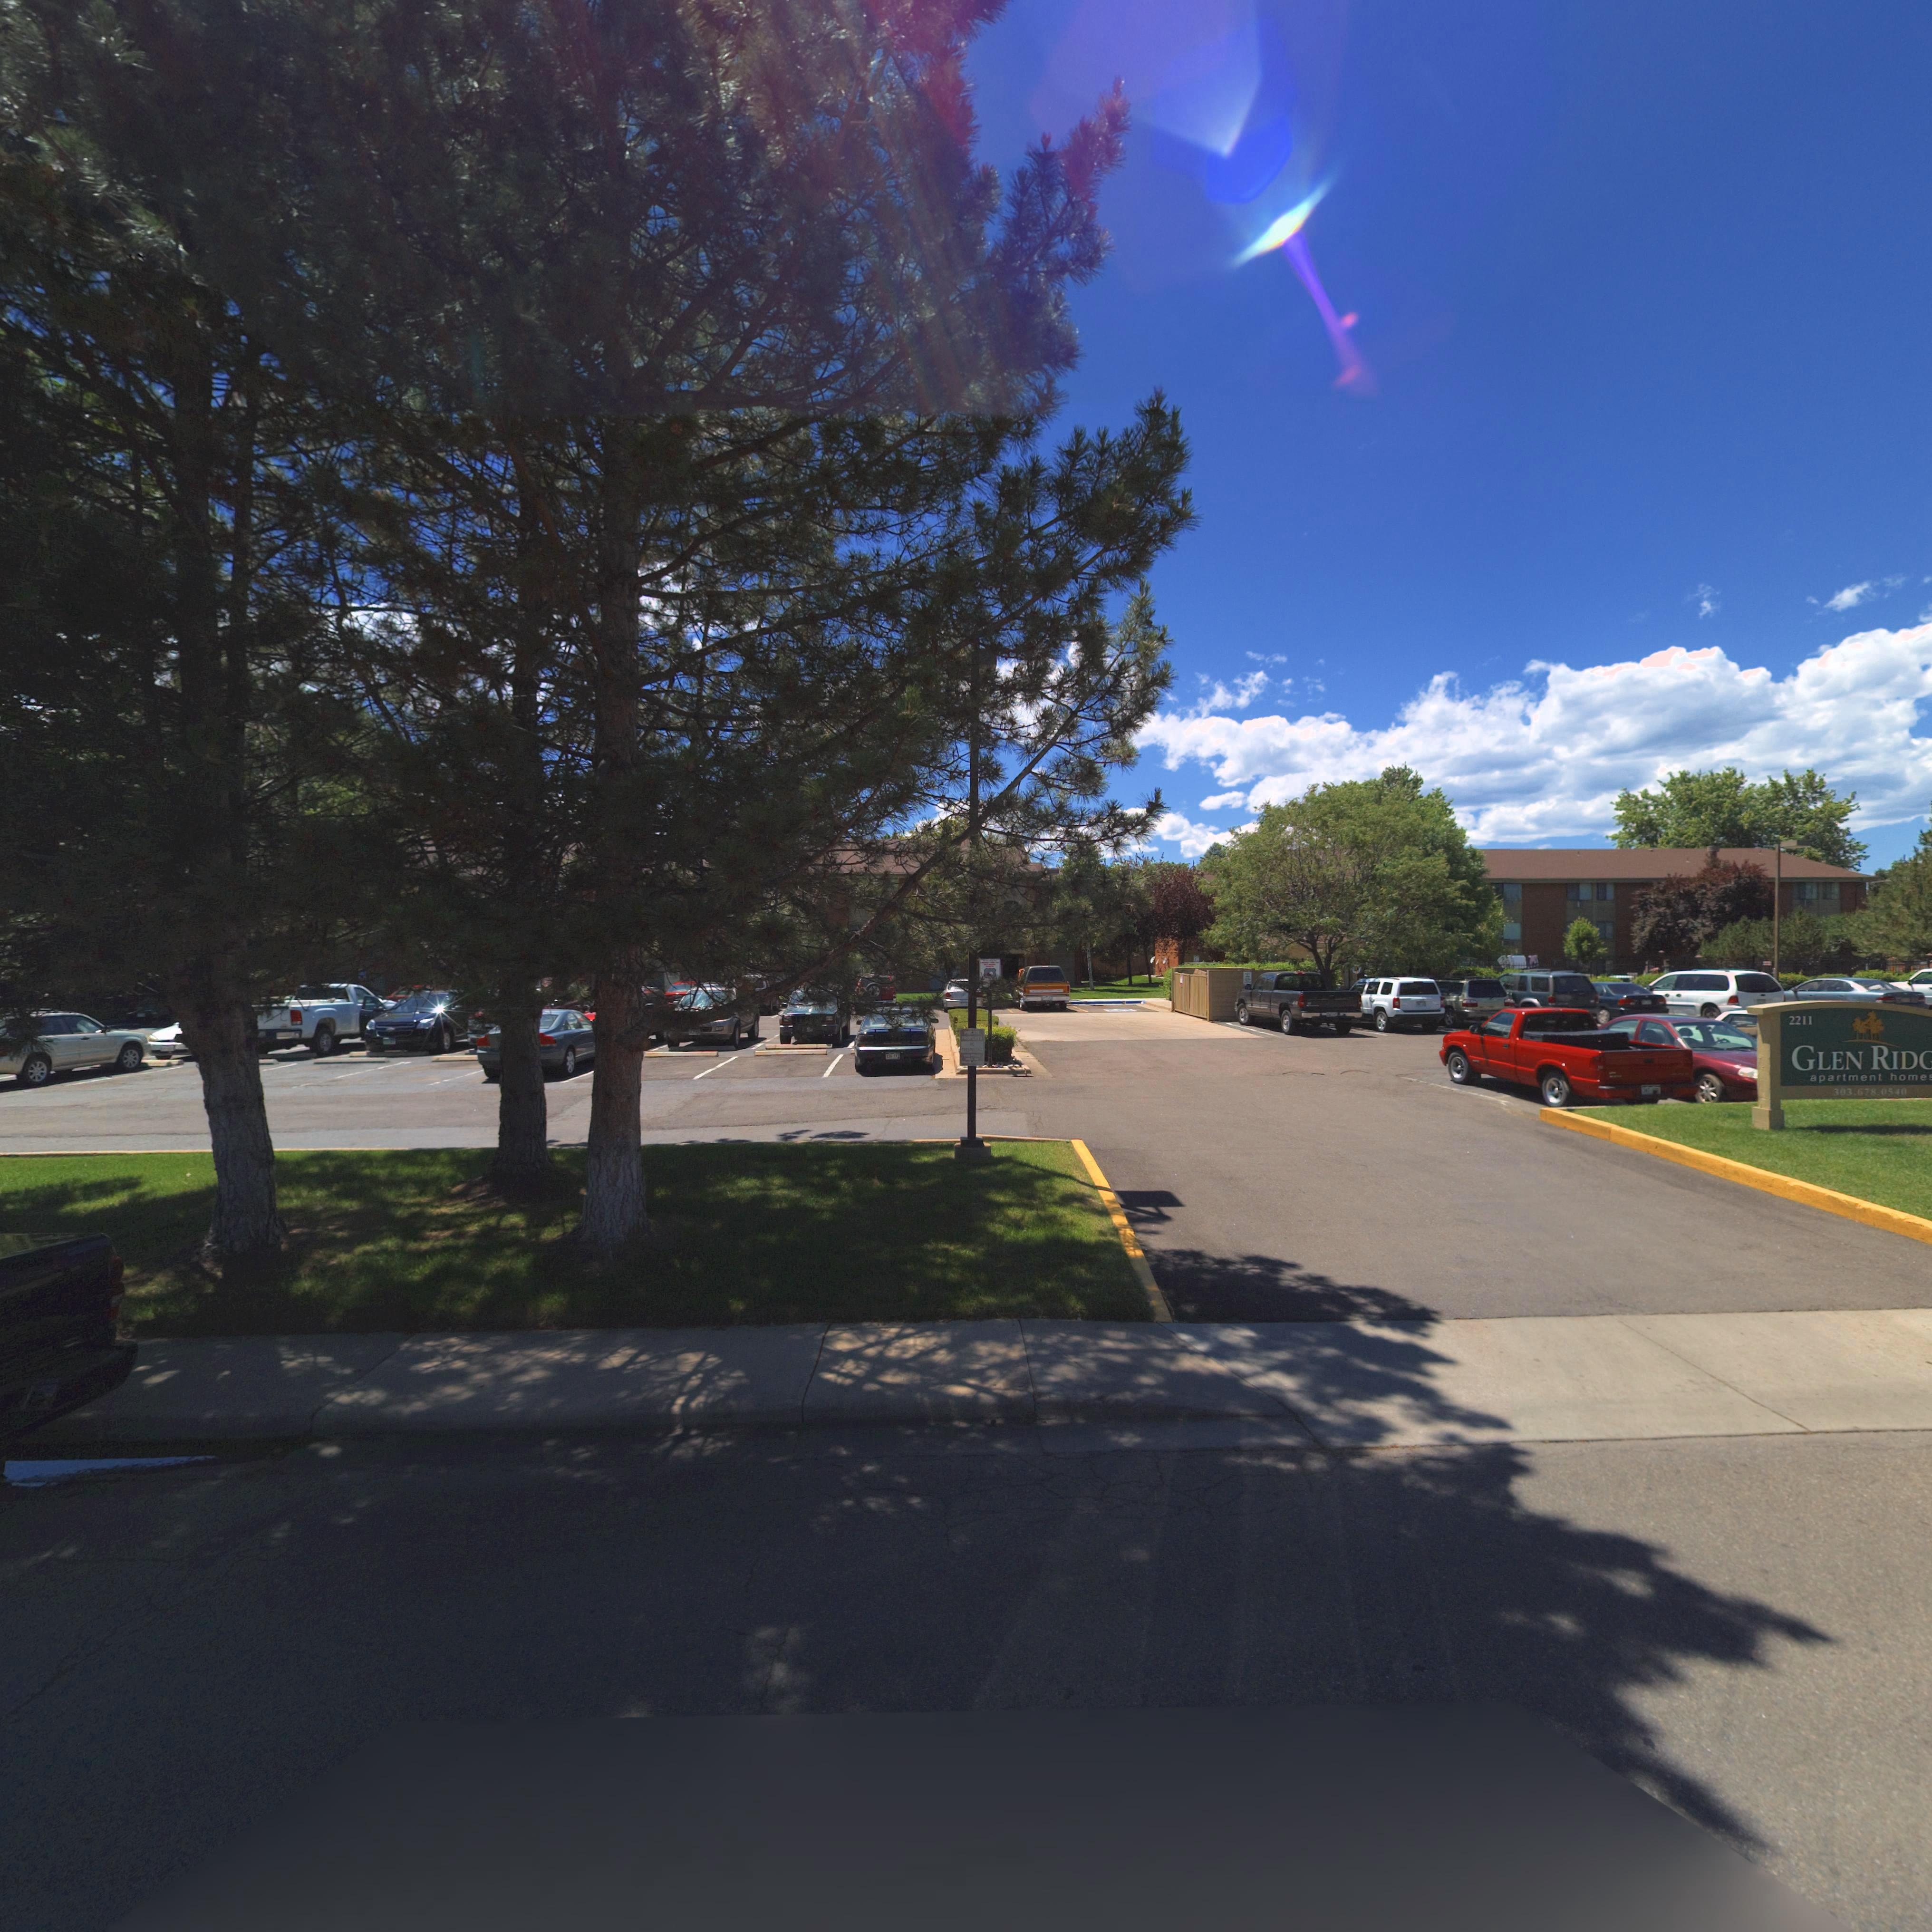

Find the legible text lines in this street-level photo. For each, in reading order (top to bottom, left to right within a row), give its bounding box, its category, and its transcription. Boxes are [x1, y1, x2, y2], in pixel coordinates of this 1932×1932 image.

[1788, 1015, 1813, 1025] StreetNumber: 2211
[1791, 1044, 1919, 1072] BusinessName: GLEN RID